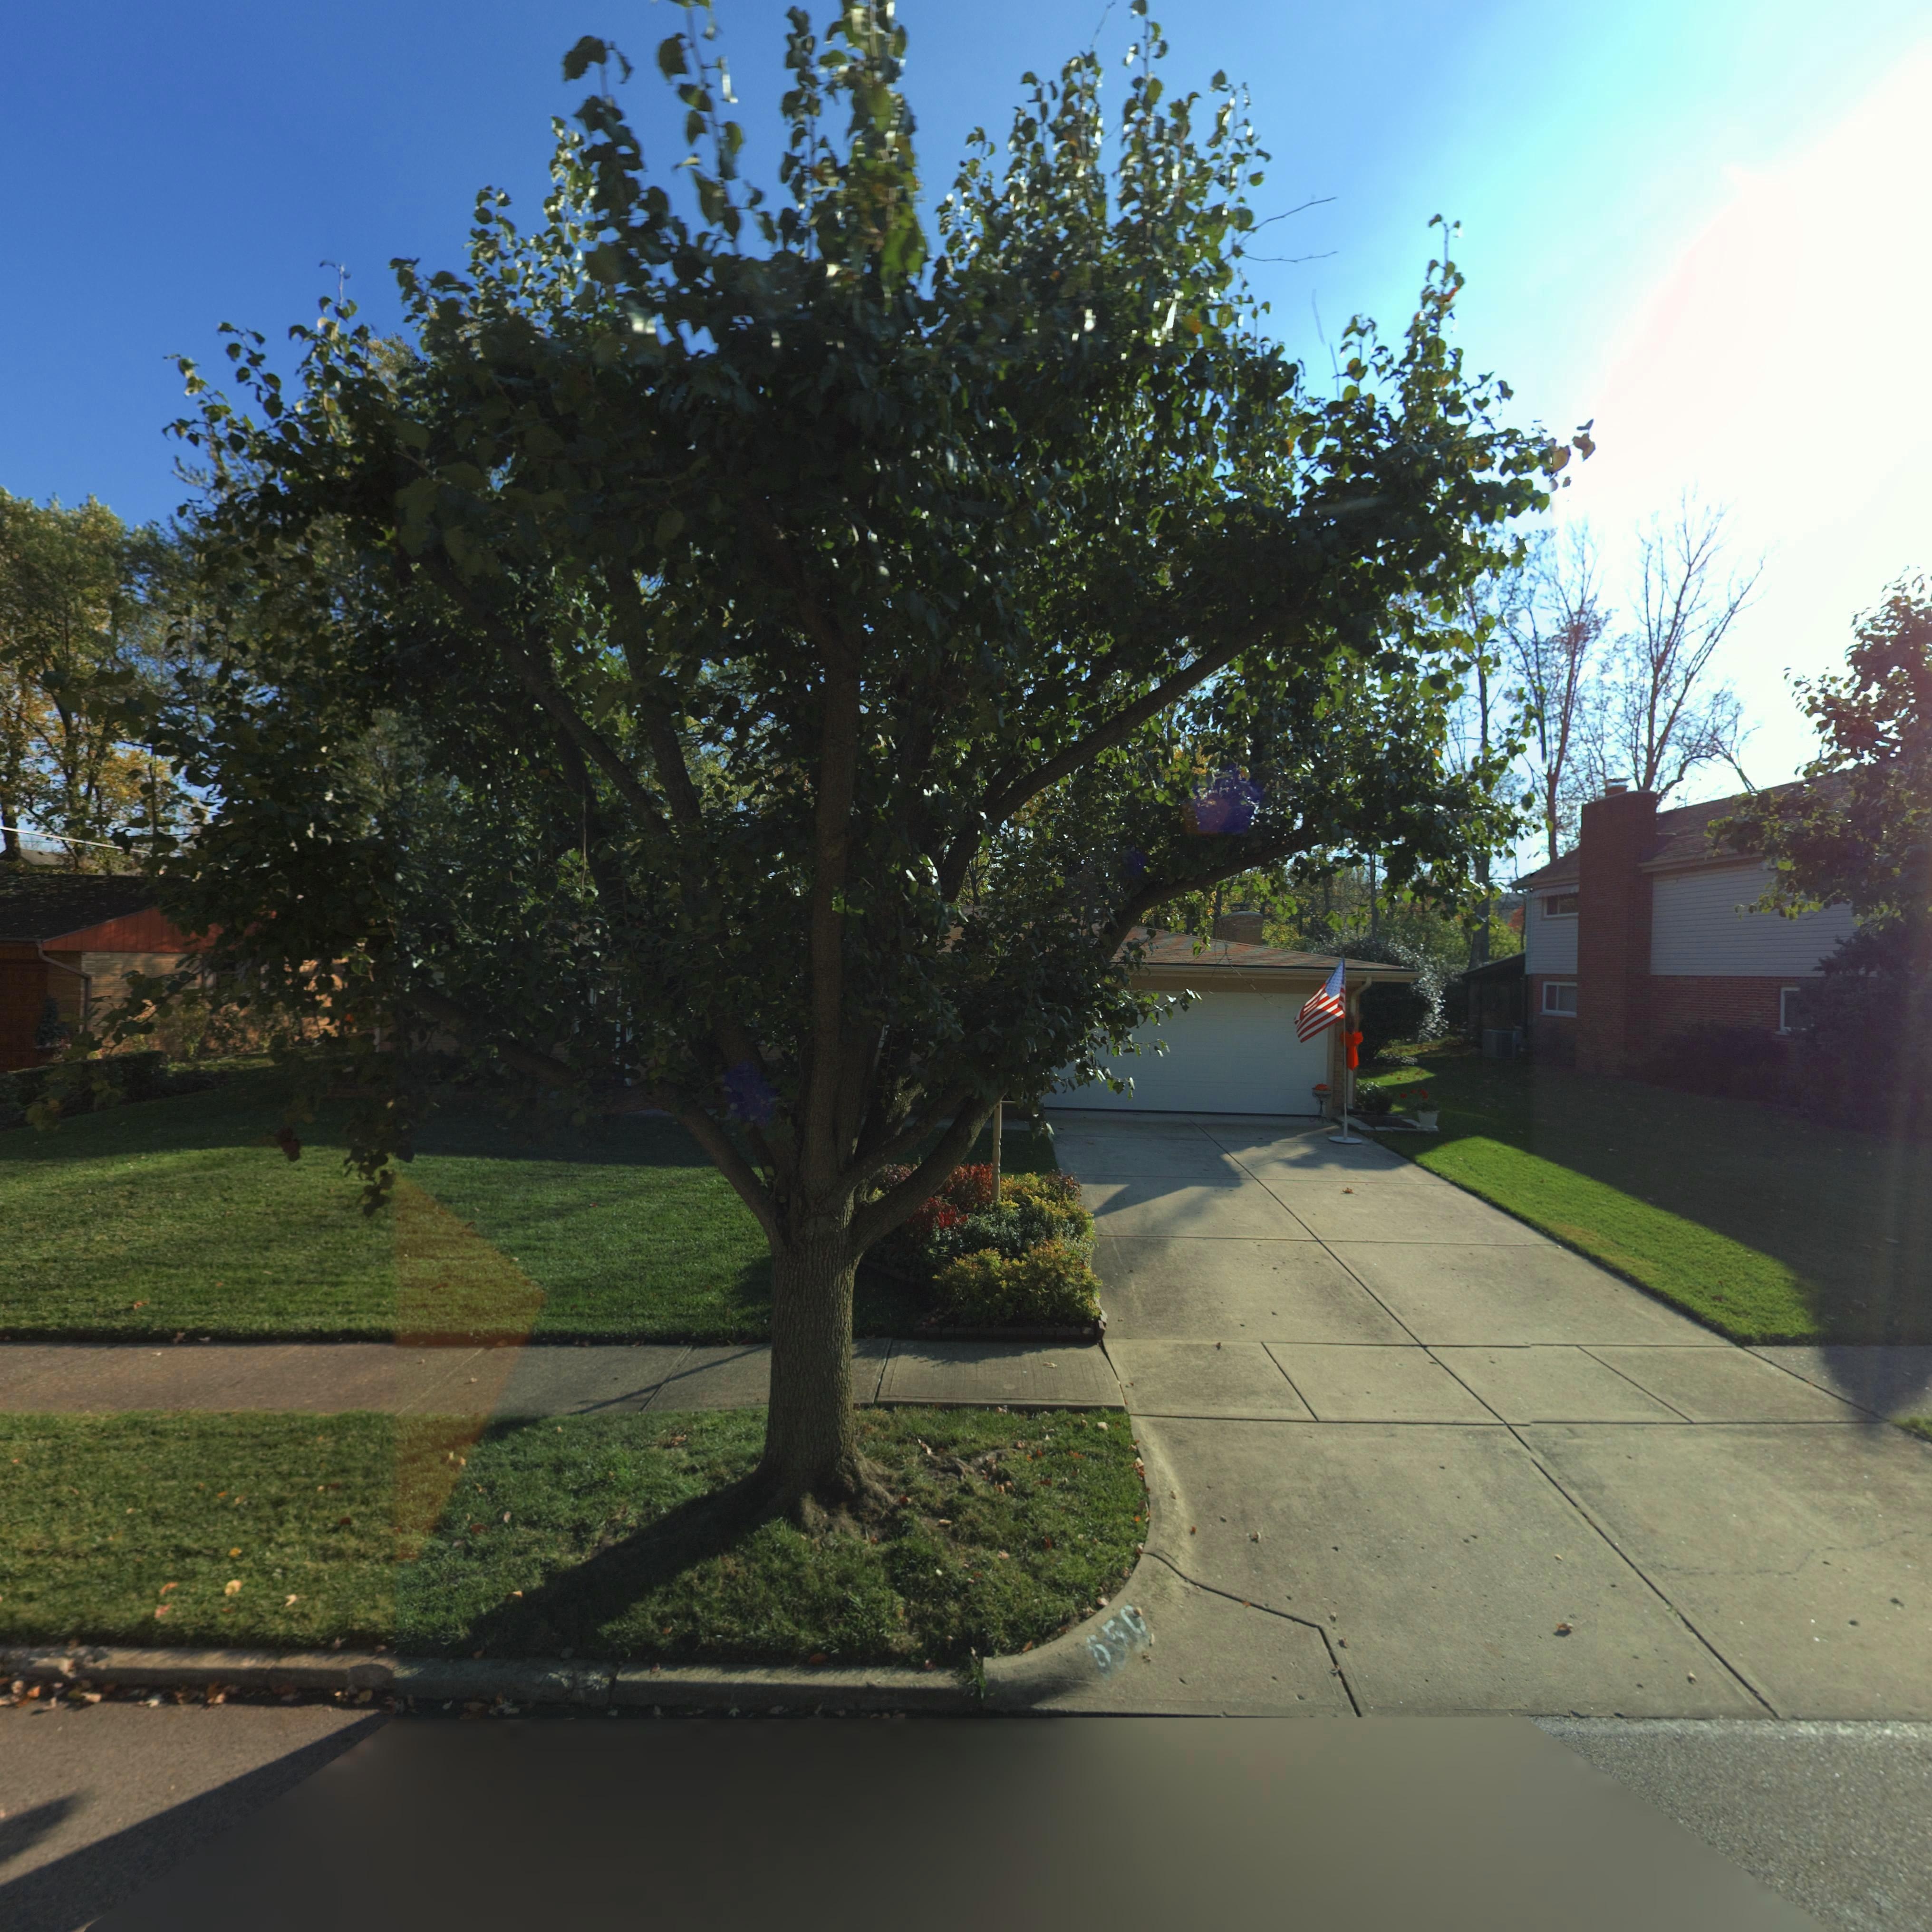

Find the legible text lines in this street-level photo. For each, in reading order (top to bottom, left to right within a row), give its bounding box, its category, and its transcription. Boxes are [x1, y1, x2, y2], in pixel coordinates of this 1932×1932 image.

[1082, 1600, 1150, 1672] StreetNumber: 650